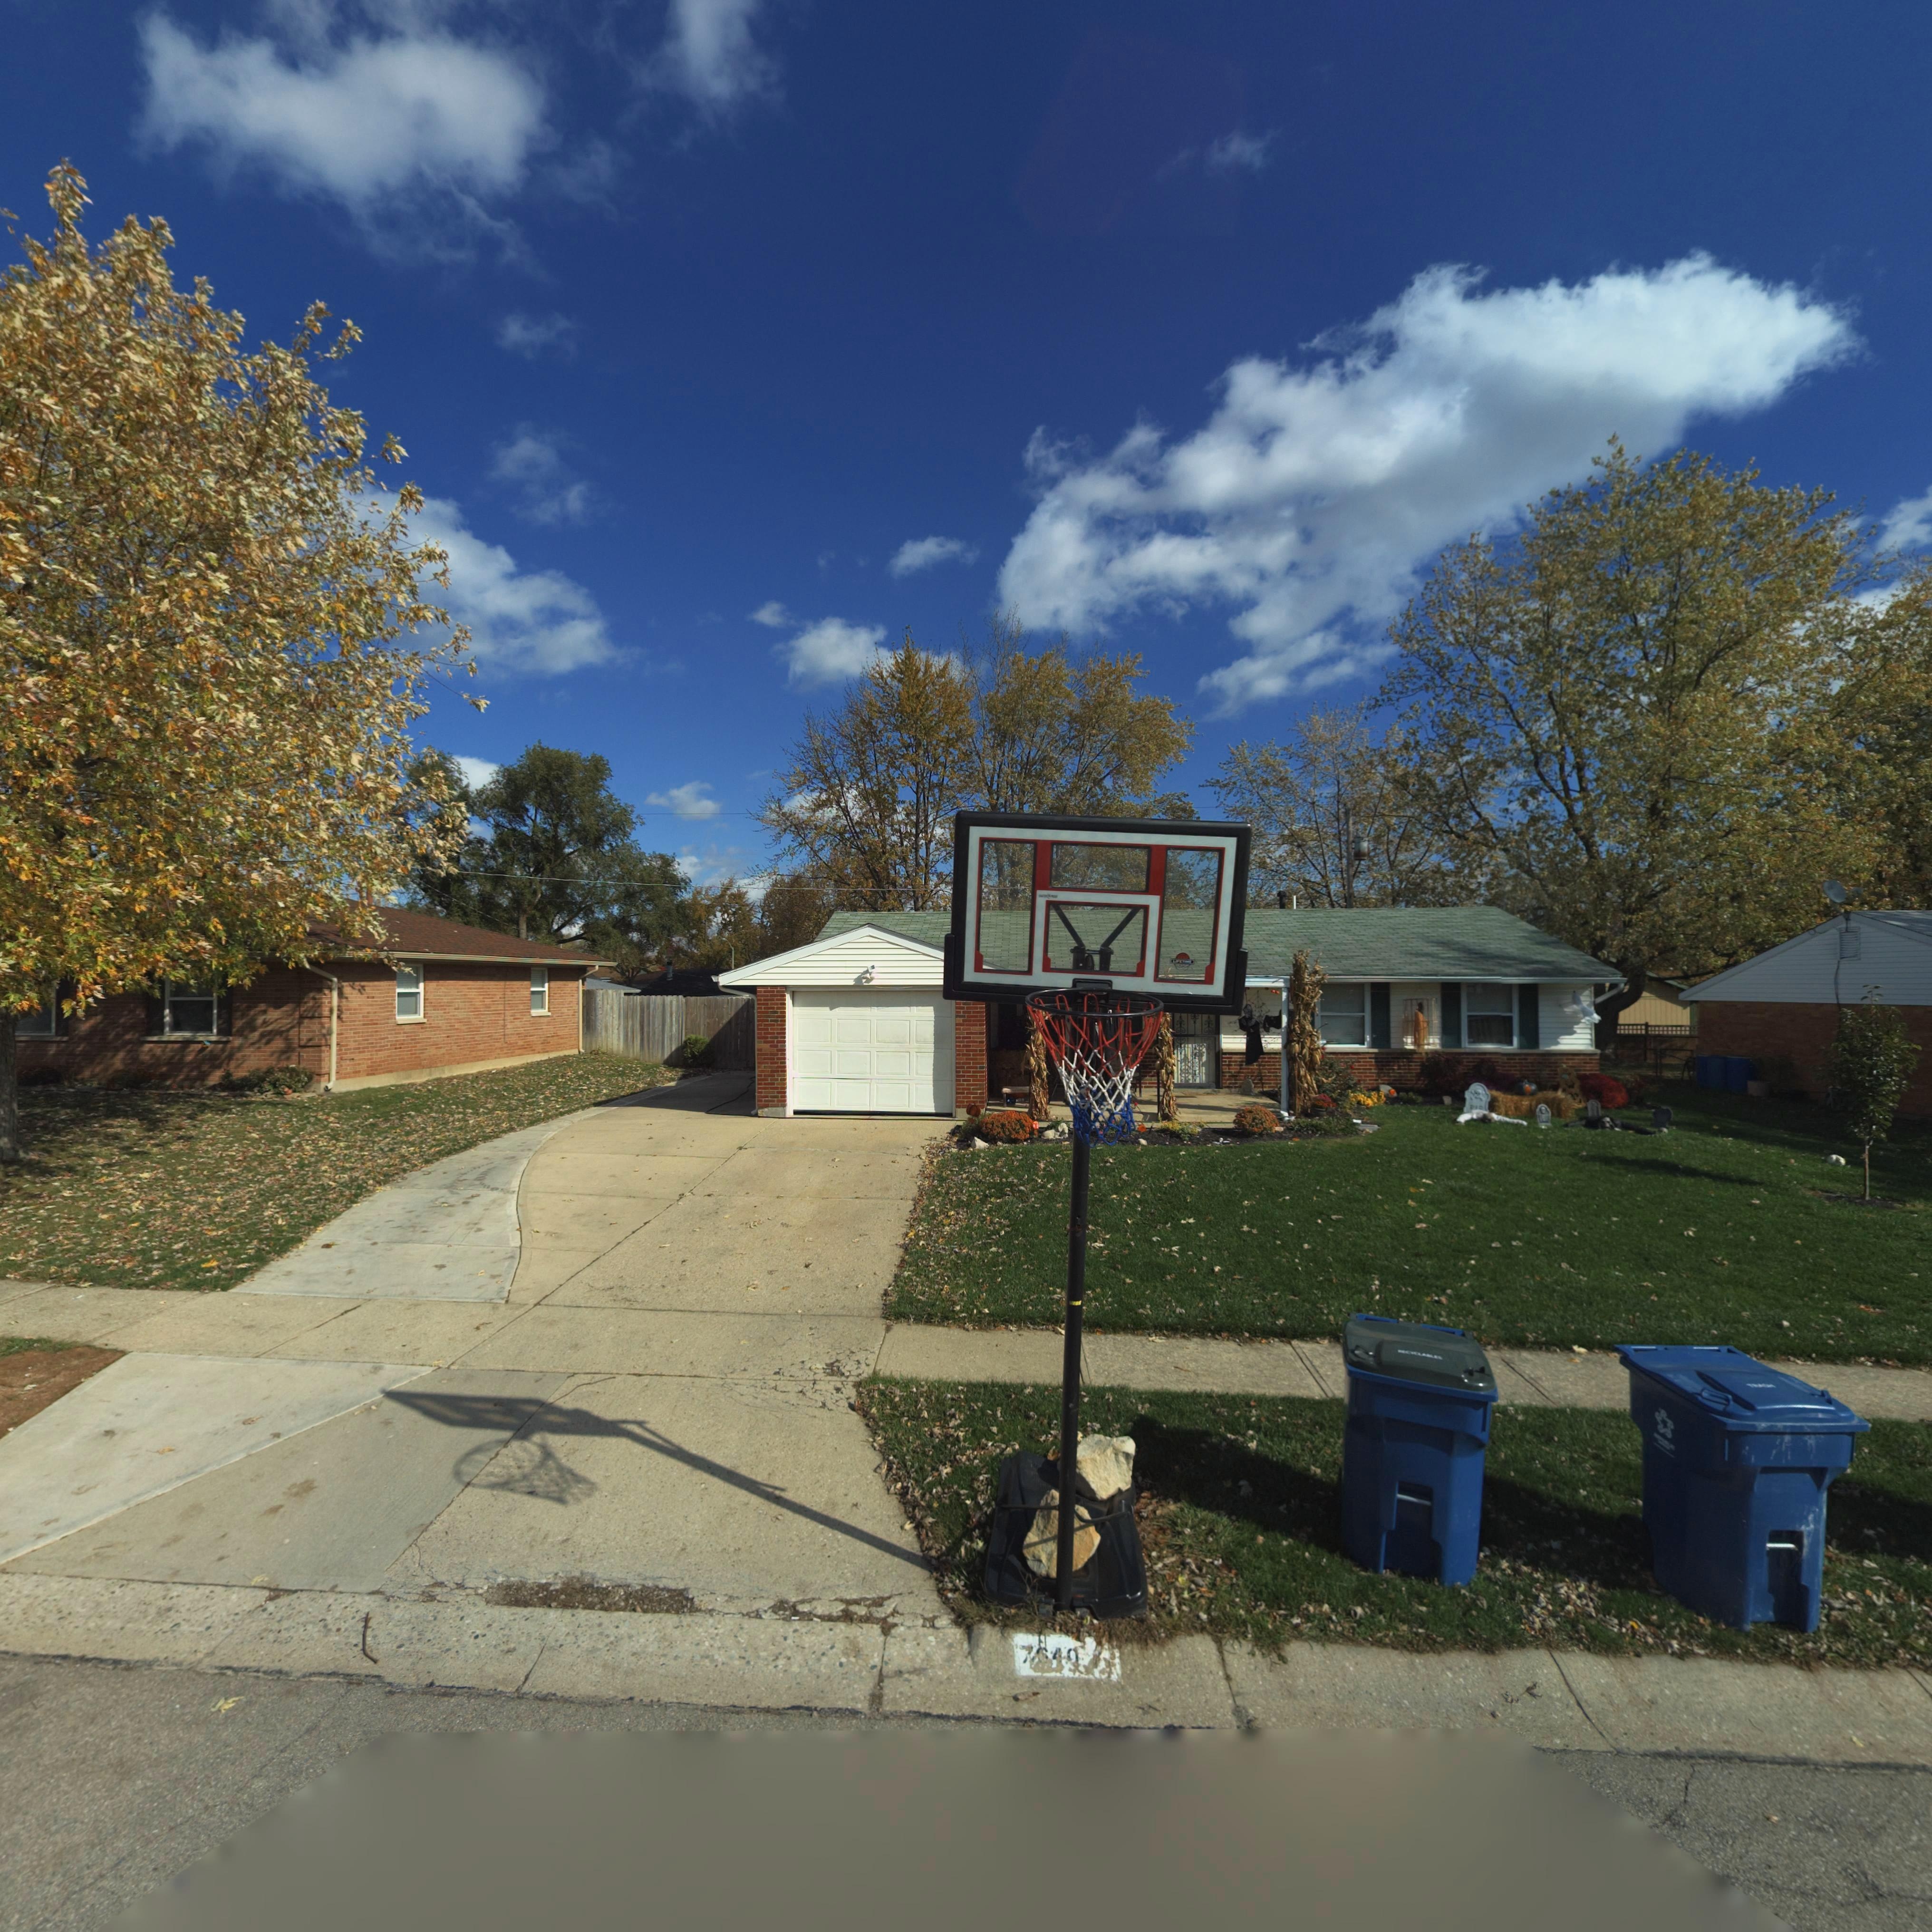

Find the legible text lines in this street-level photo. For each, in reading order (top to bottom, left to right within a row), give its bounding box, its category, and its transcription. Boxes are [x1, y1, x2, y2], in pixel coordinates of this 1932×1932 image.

[1018, 1643, 1080, 1666] StreetNumber: 7*40